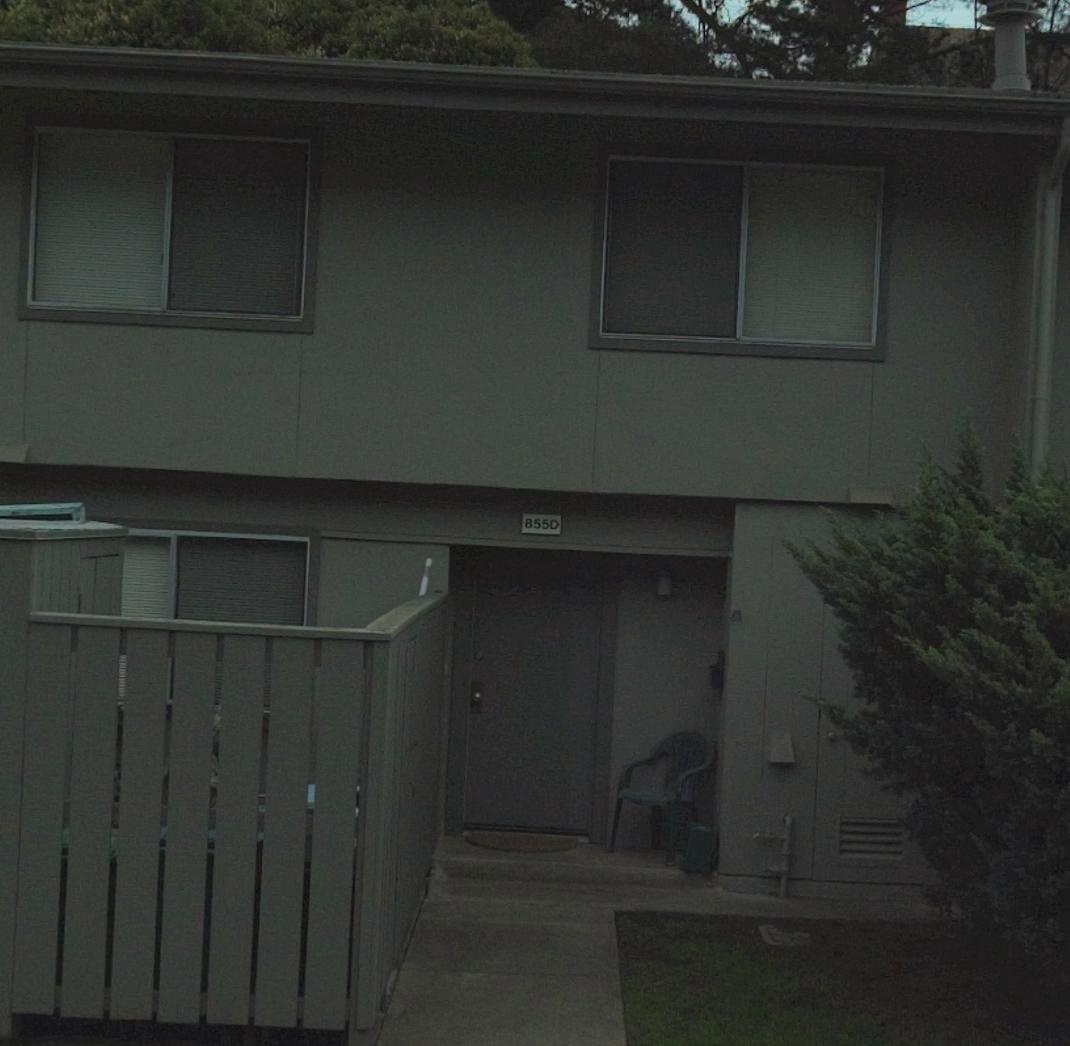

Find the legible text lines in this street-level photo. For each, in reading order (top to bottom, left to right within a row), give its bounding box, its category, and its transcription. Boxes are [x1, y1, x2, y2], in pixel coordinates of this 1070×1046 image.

[524, 517, 560, 531] StreetNumber: 855D